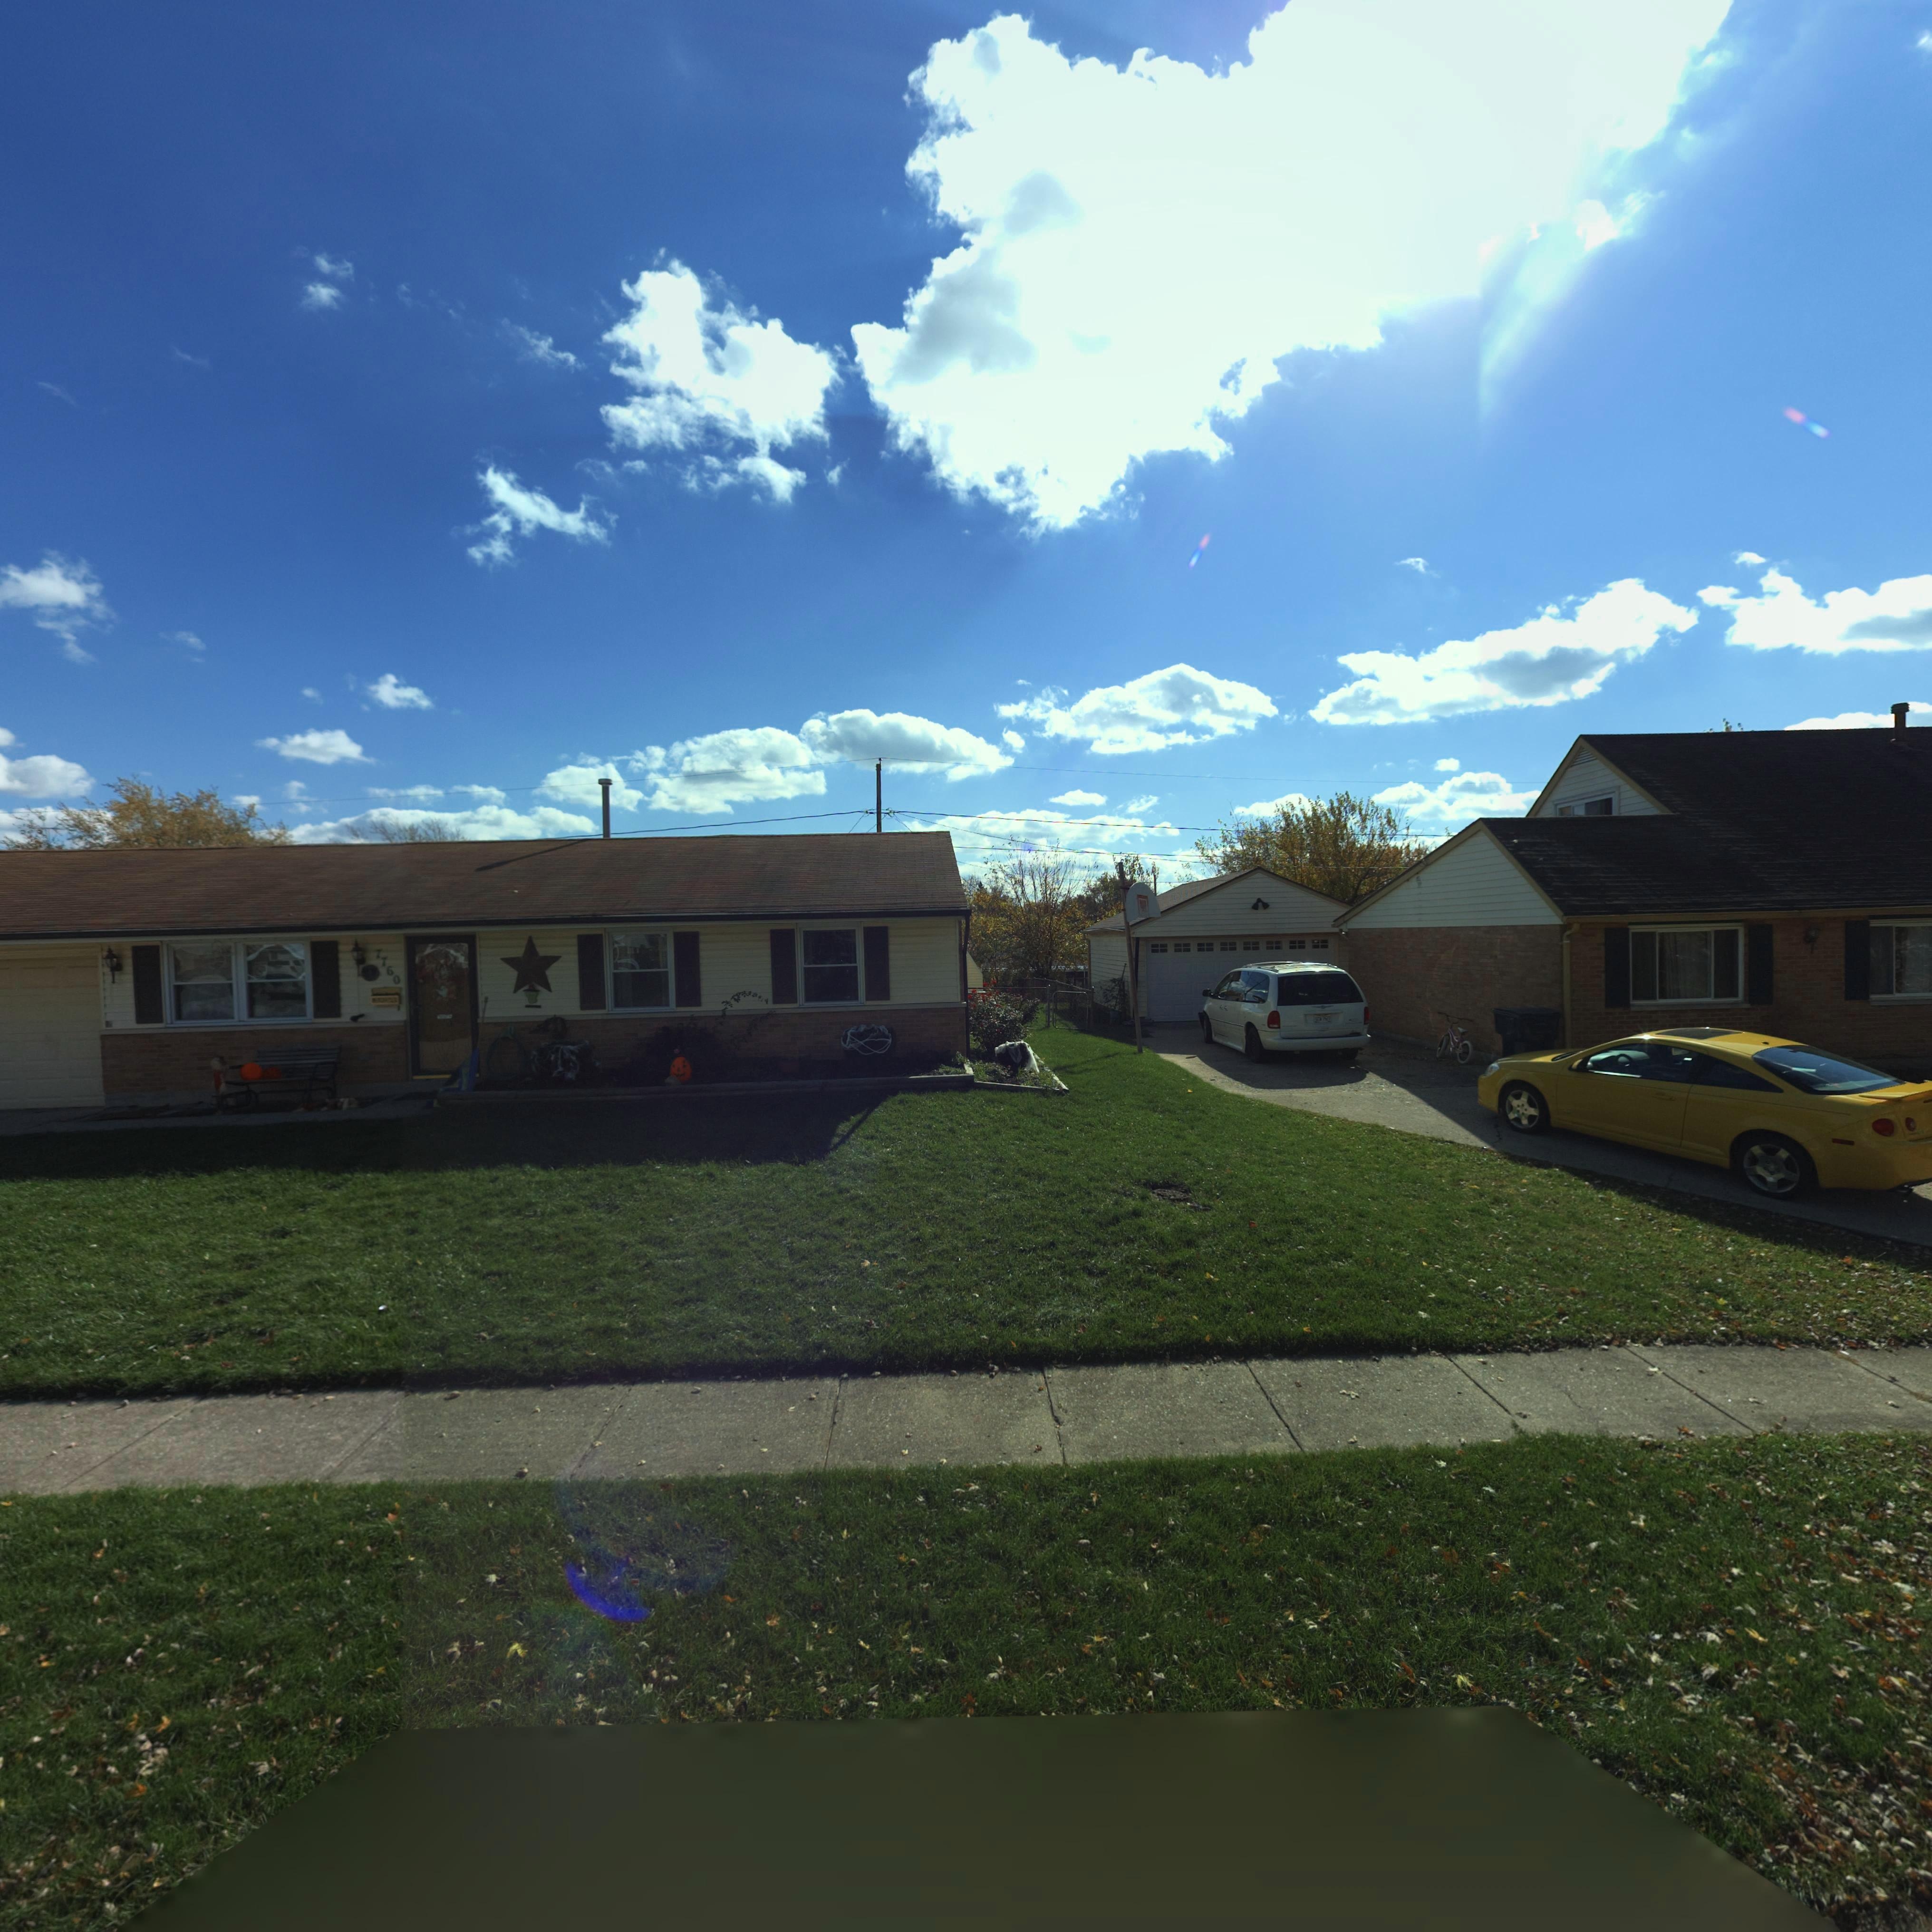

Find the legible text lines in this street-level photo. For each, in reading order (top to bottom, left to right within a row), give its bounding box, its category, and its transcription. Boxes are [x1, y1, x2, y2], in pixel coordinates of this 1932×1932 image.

[374, 947, 402, 986] StreetNumber: 7760